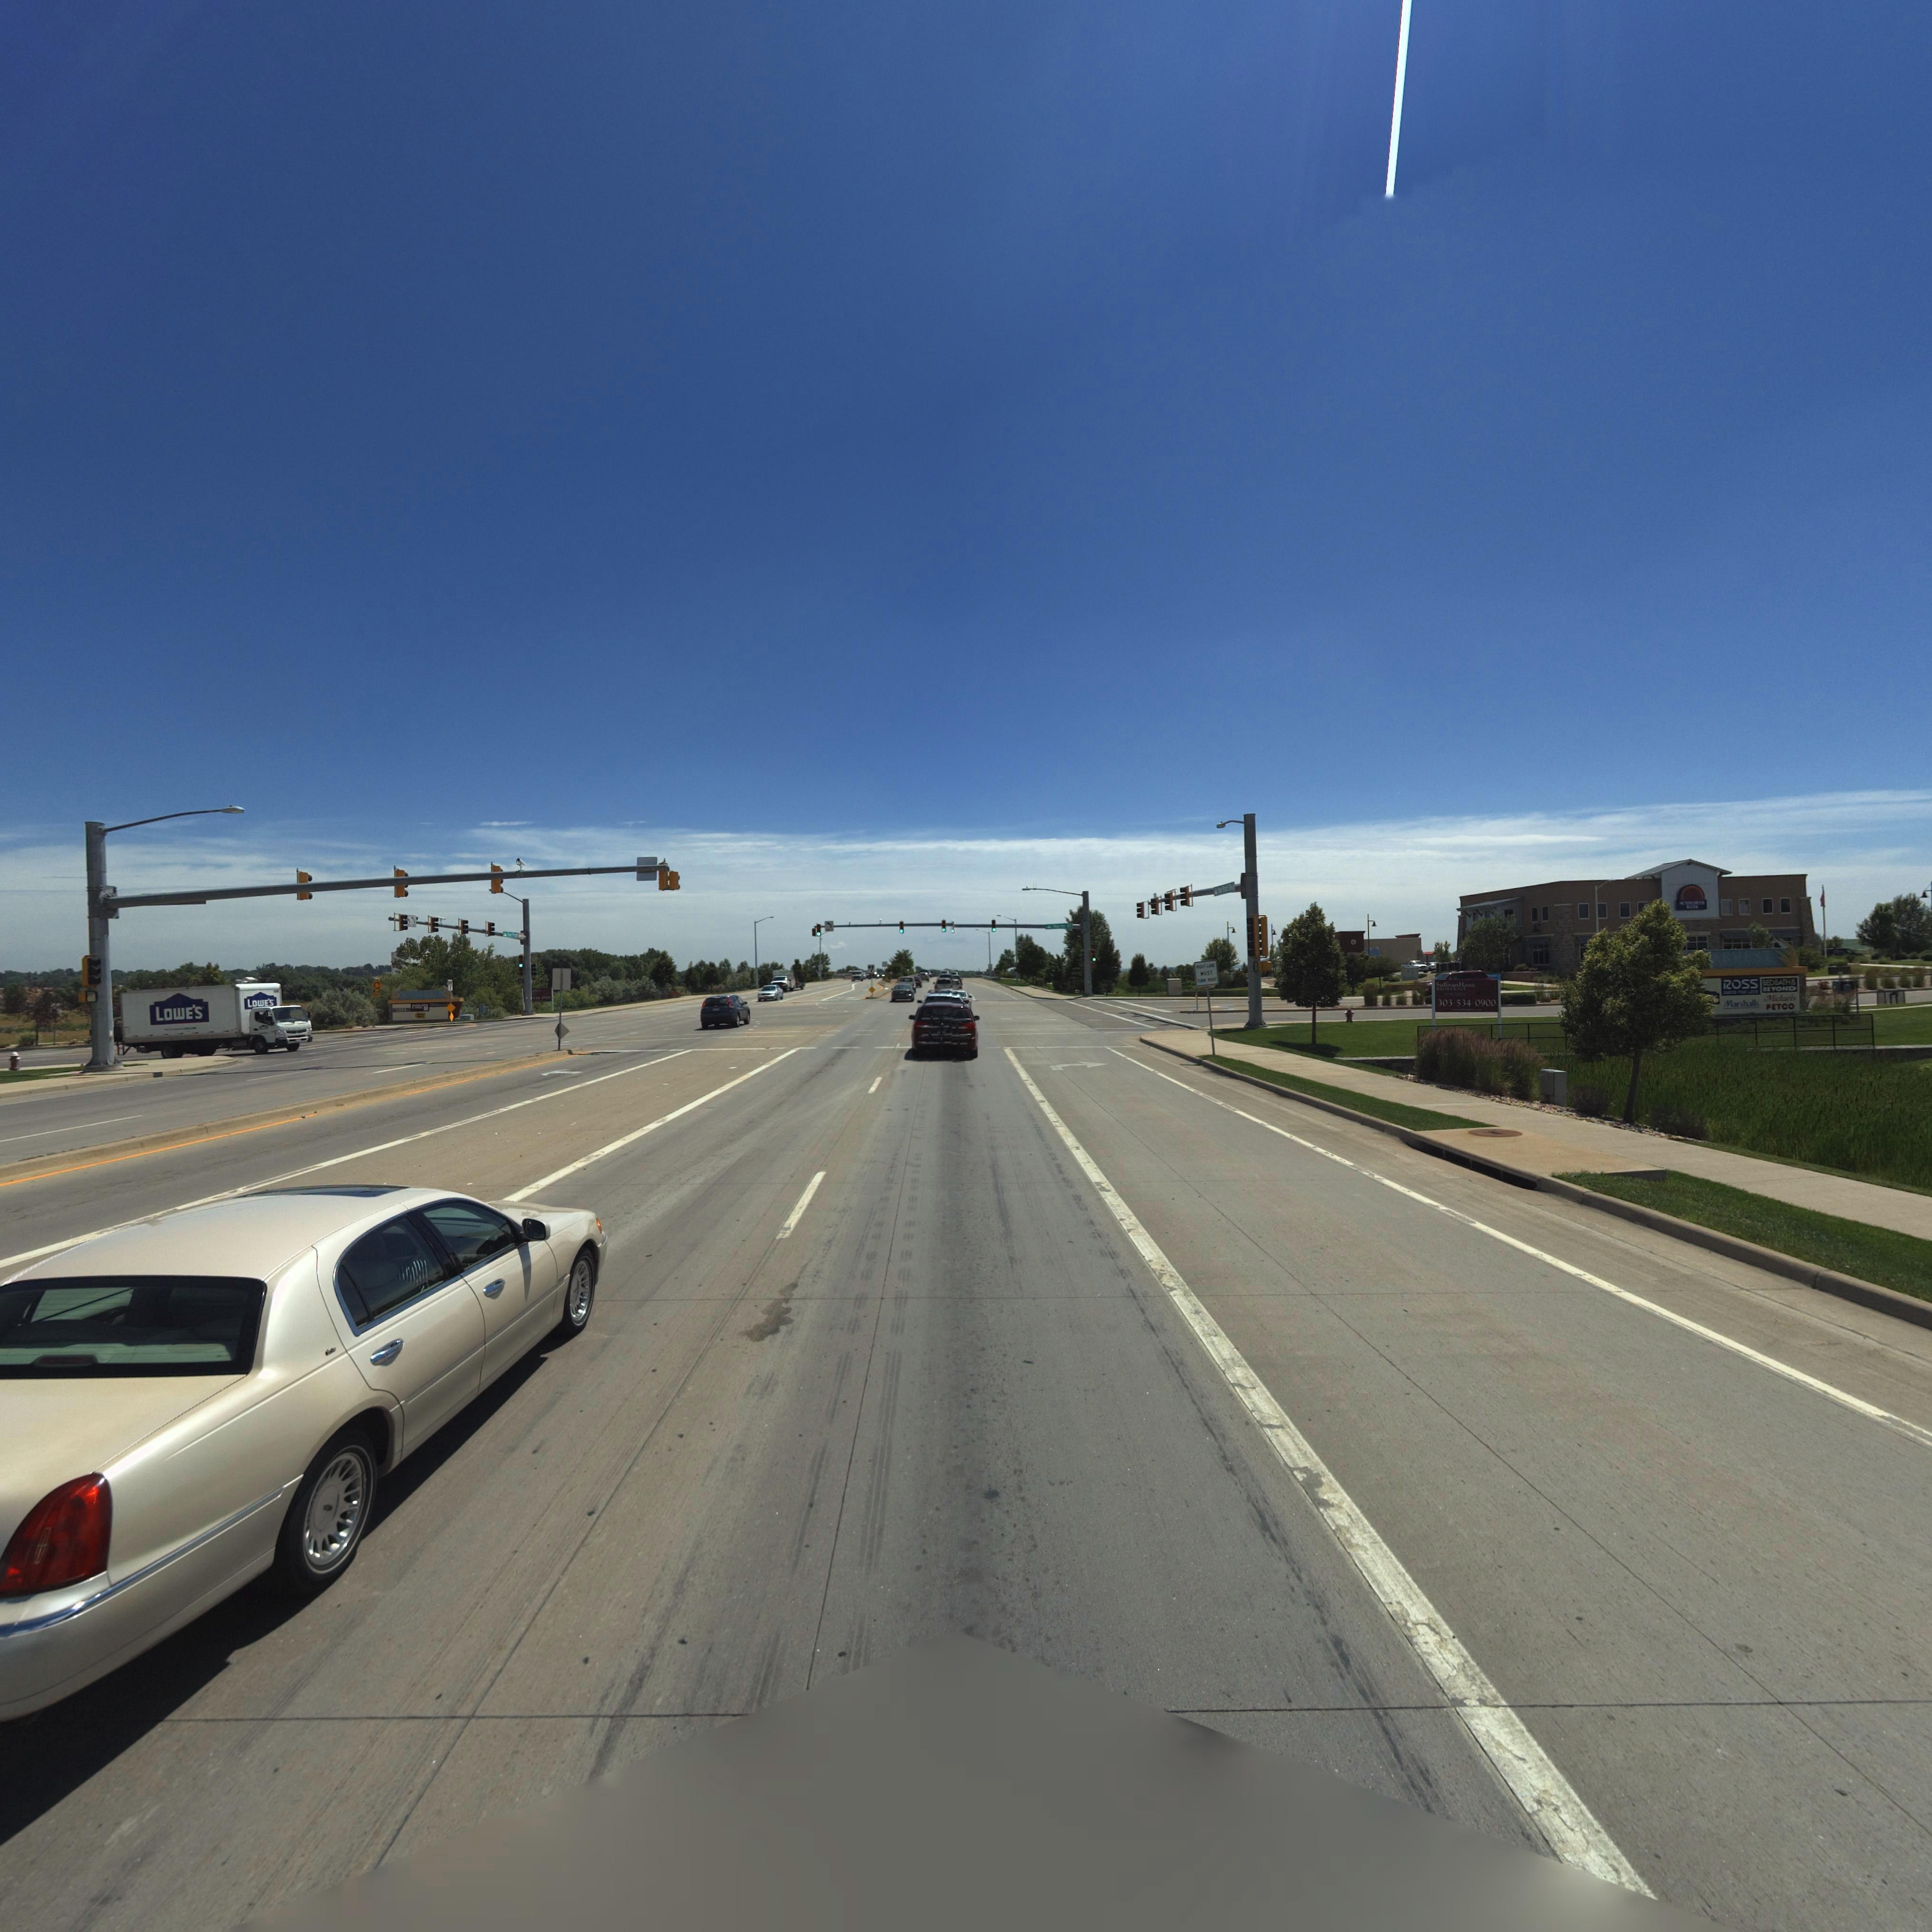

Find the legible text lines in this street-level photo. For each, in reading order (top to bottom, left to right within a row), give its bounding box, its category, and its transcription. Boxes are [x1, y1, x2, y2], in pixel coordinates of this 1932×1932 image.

[1723, 978, 1759, 990] BusinessName: ROSS
[1762, 978, 1797, 985] BusinessName: BEDBATHS
[1762, 985, 1797, 992] BusinessName: BEYOND
[1764, 994, 1797, 1002] BusinessName: Mic***is
[1722, 998, 1760, 1008] BusinessName: Marshalls
[1765, 1002, 1796, 1010] BusinessName: PETCO